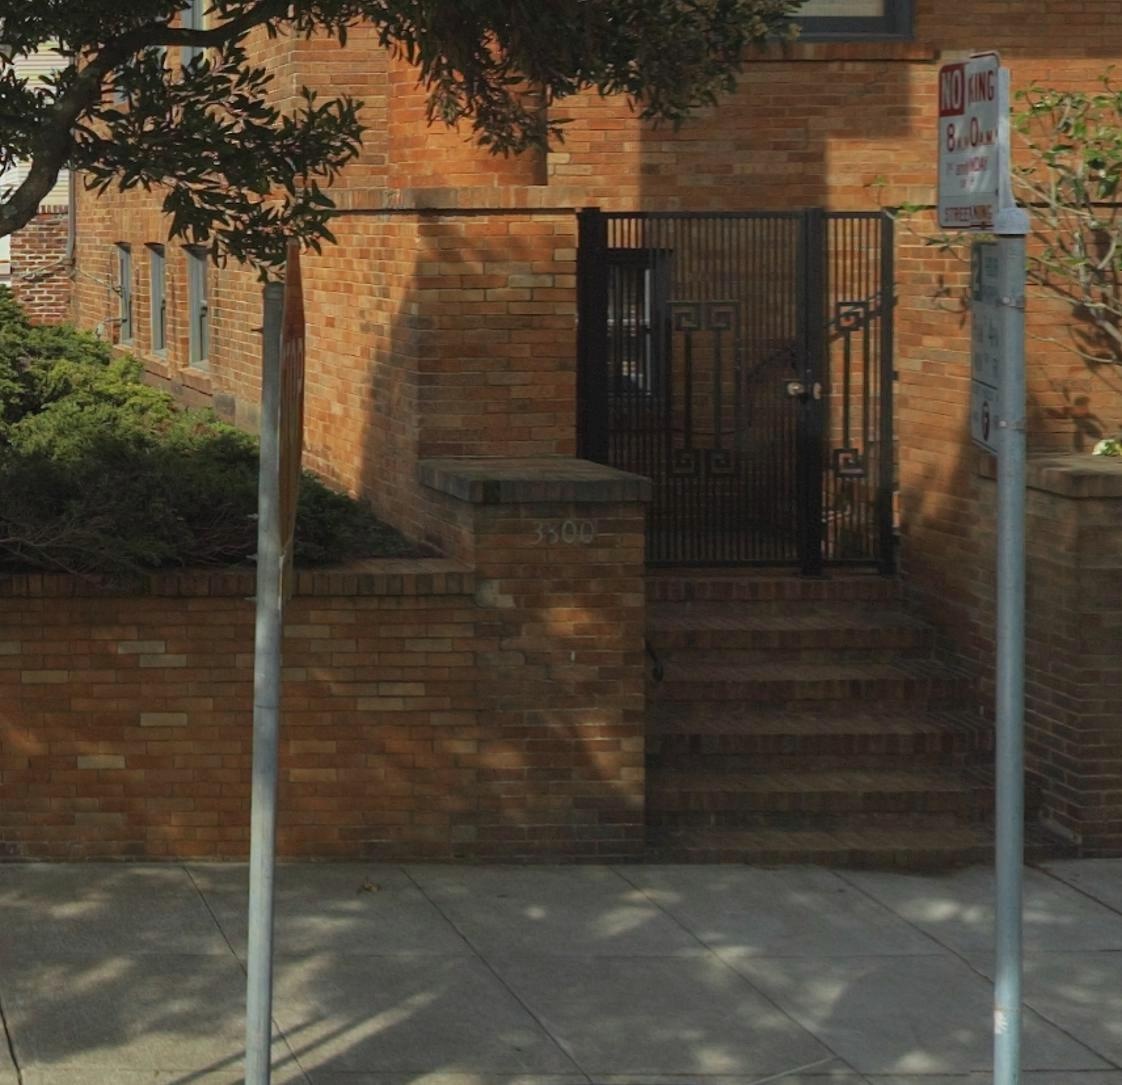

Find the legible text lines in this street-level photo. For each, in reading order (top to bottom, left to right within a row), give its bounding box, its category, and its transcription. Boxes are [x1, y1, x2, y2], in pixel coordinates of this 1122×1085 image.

[939, 64, 966, 113] None: NO
[966, 64, 997, 107] None: KING
[944, 120, 959, 155] None: 8
[967, 114, 981, 149] None: 0
[940, 203, 974, 227] None: STREE
[525, 518, 597, 547] StreetNumber: 3800